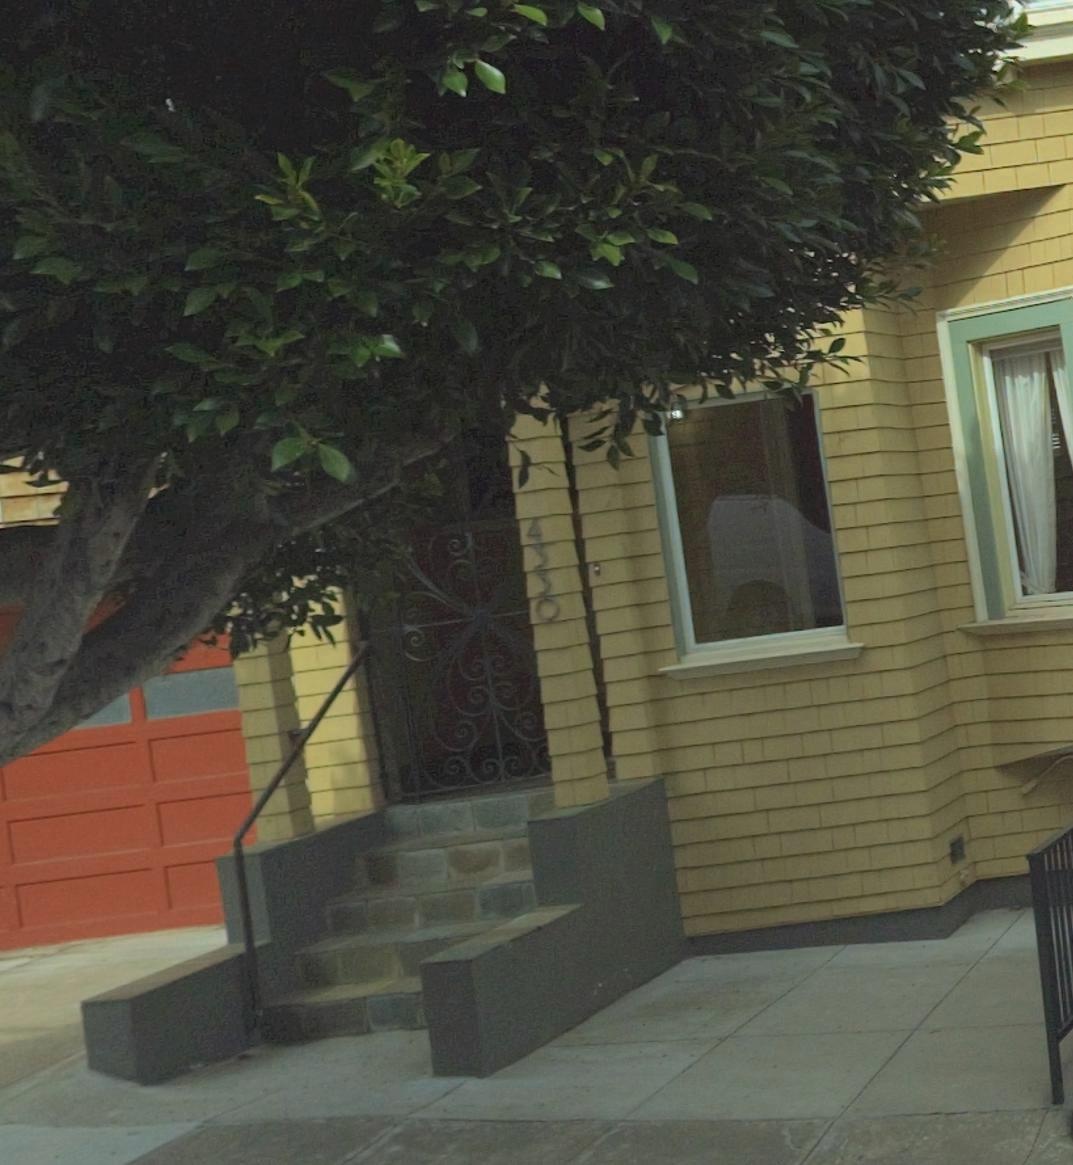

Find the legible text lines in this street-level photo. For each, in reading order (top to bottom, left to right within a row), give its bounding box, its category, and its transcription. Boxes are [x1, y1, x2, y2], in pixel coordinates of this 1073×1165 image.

[523, 517, 563, 624] StreetNumber: 4330